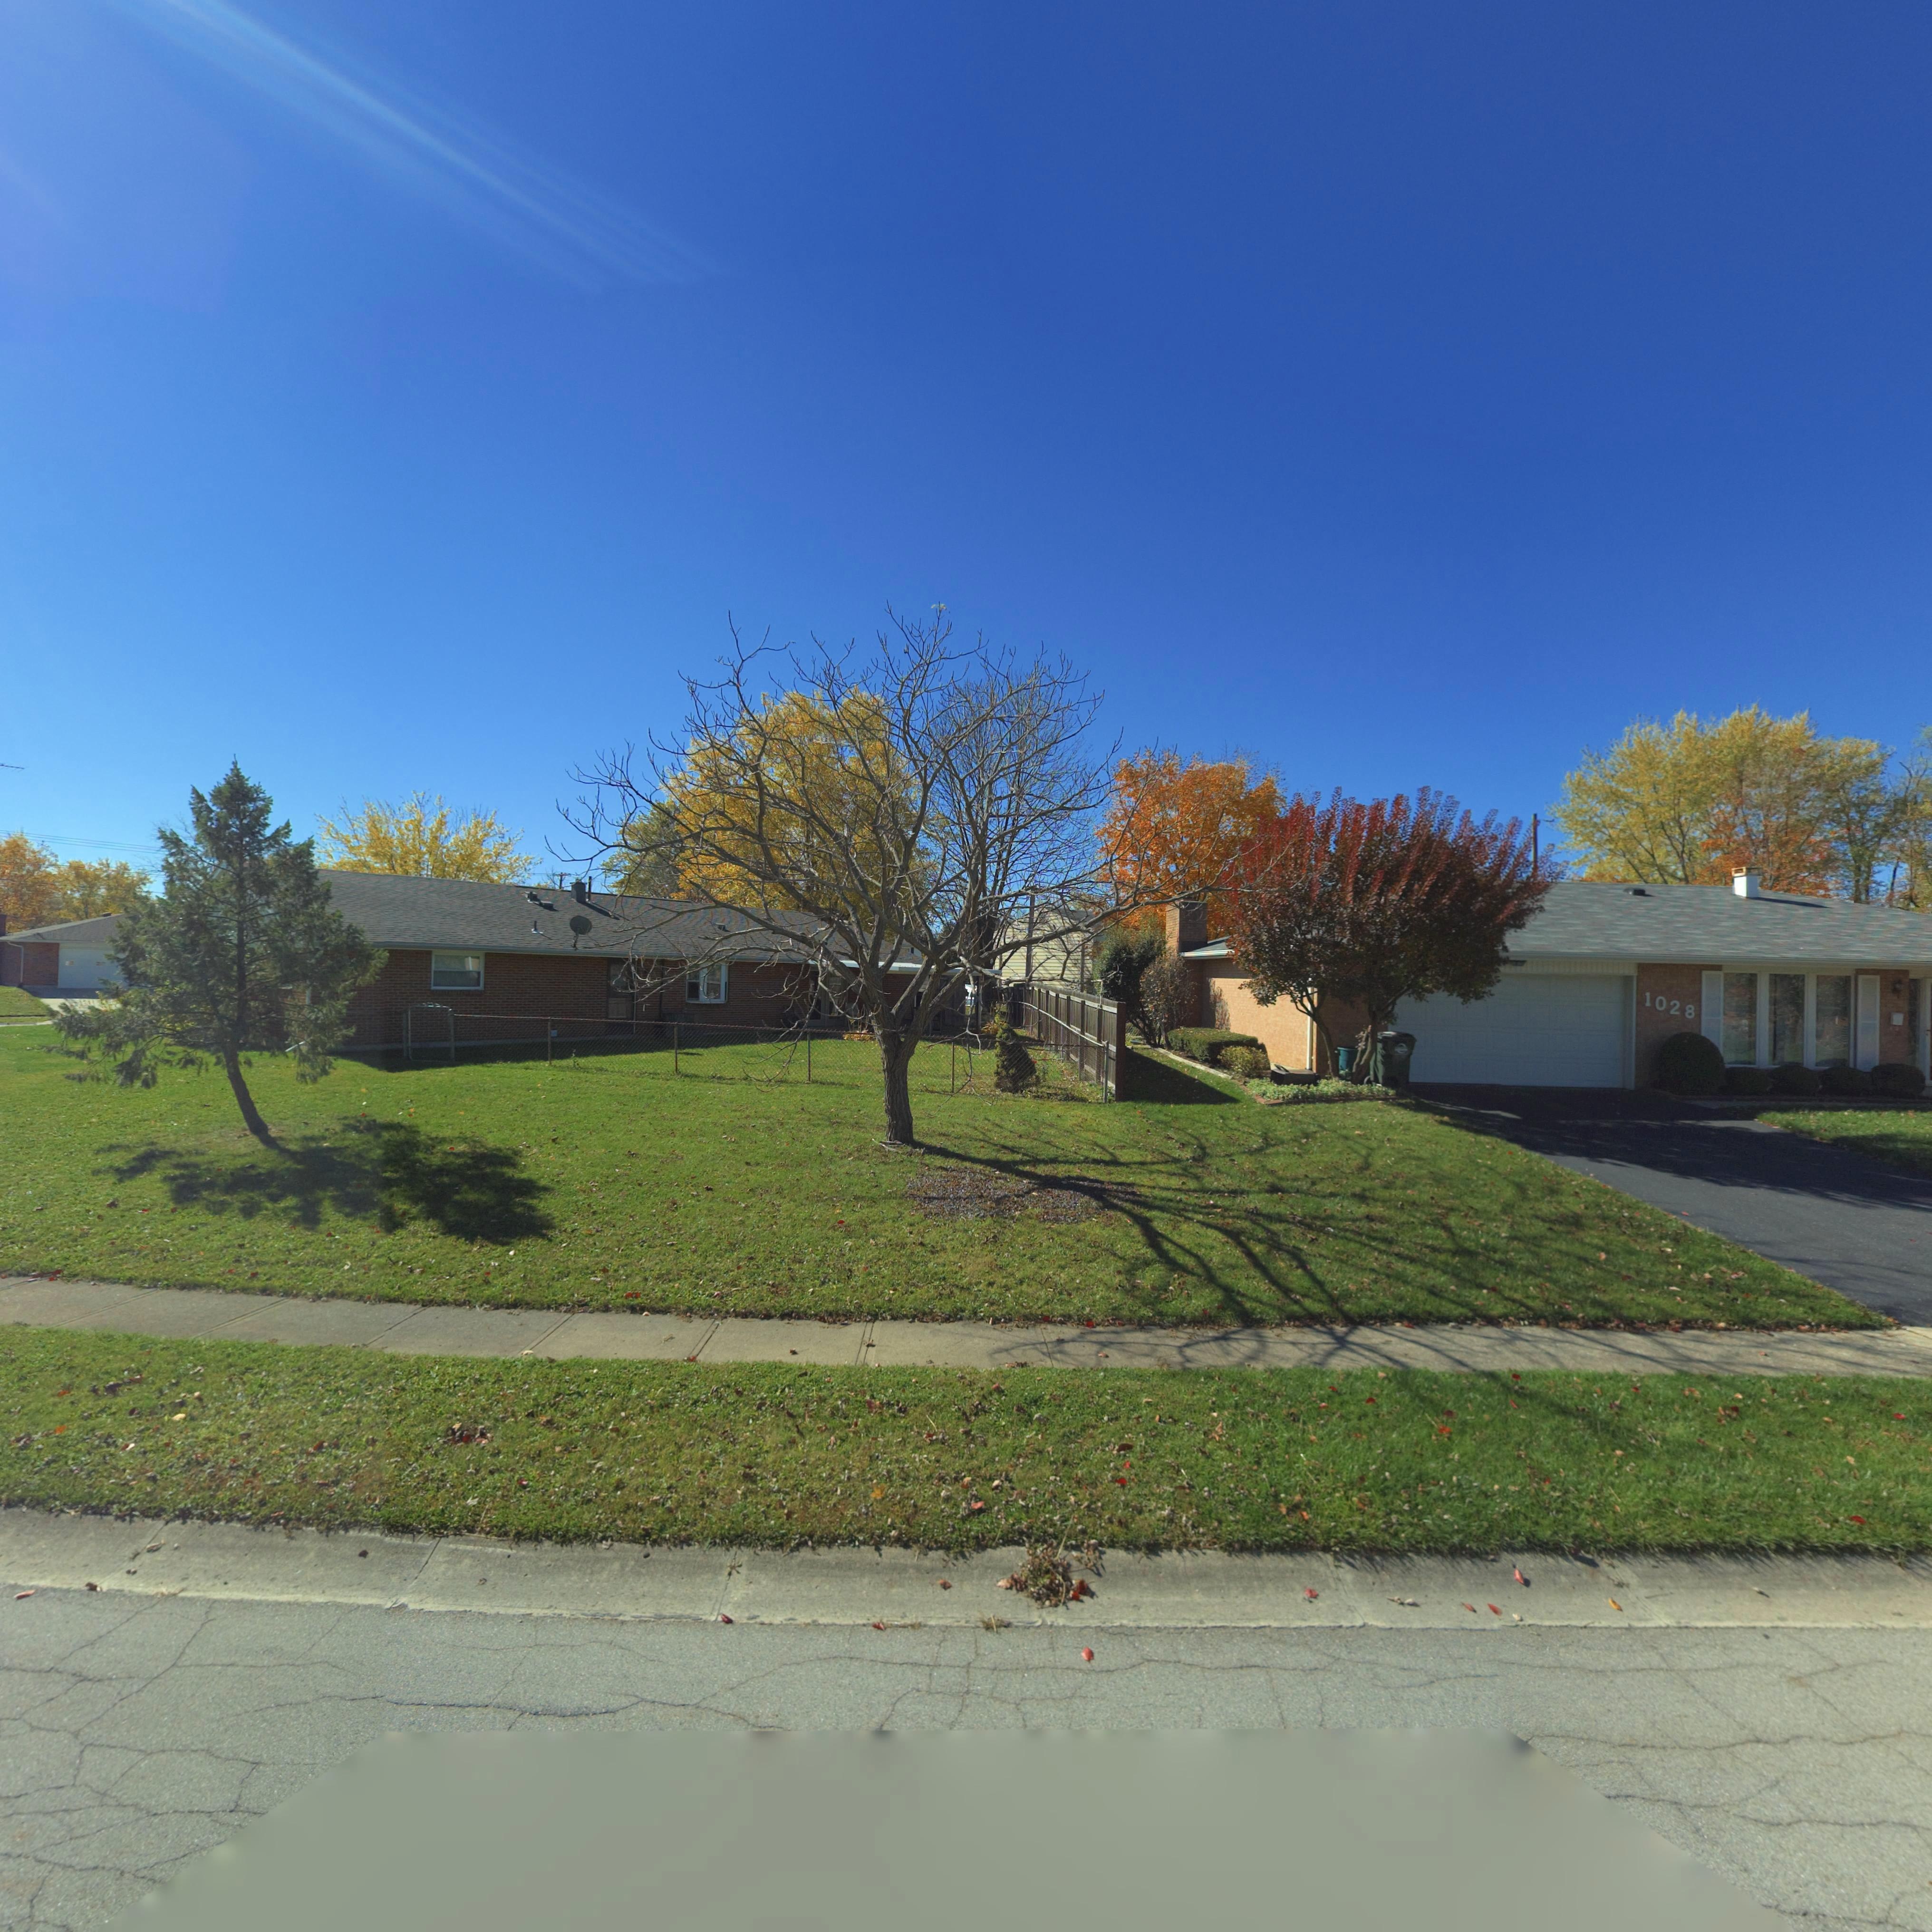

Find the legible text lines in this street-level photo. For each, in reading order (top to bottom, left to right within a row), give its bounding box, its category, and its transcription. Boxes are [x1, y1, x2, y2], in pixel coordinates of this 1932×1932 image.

[1644, 991, 1696, 1020] StreetNumber: 1028